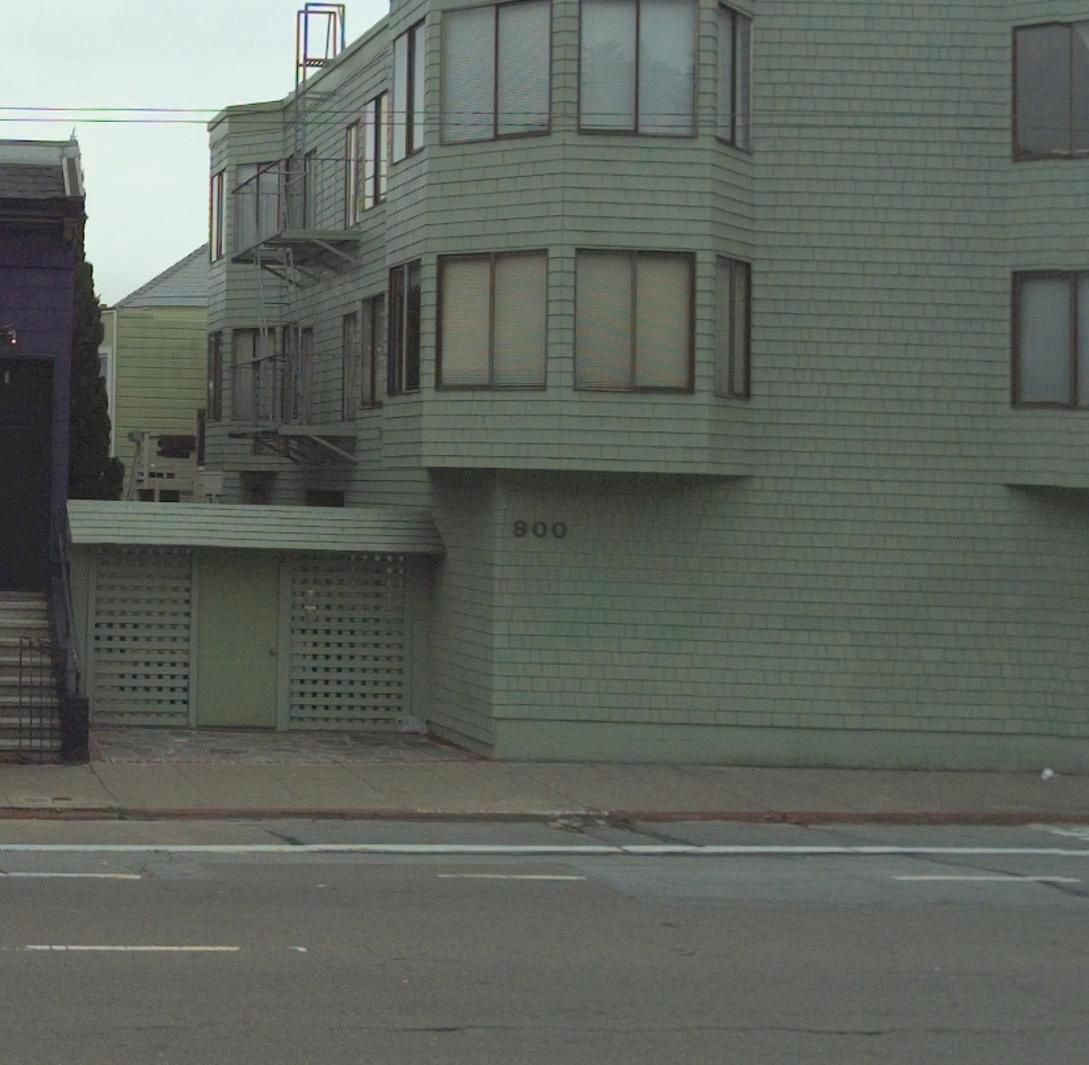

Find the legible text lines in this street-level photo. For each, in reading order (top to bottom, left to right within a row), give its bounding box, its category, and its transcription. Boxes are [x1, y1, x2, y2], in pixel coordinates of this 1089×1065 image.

[511, 519, 569, 540] StreetNumber: 900